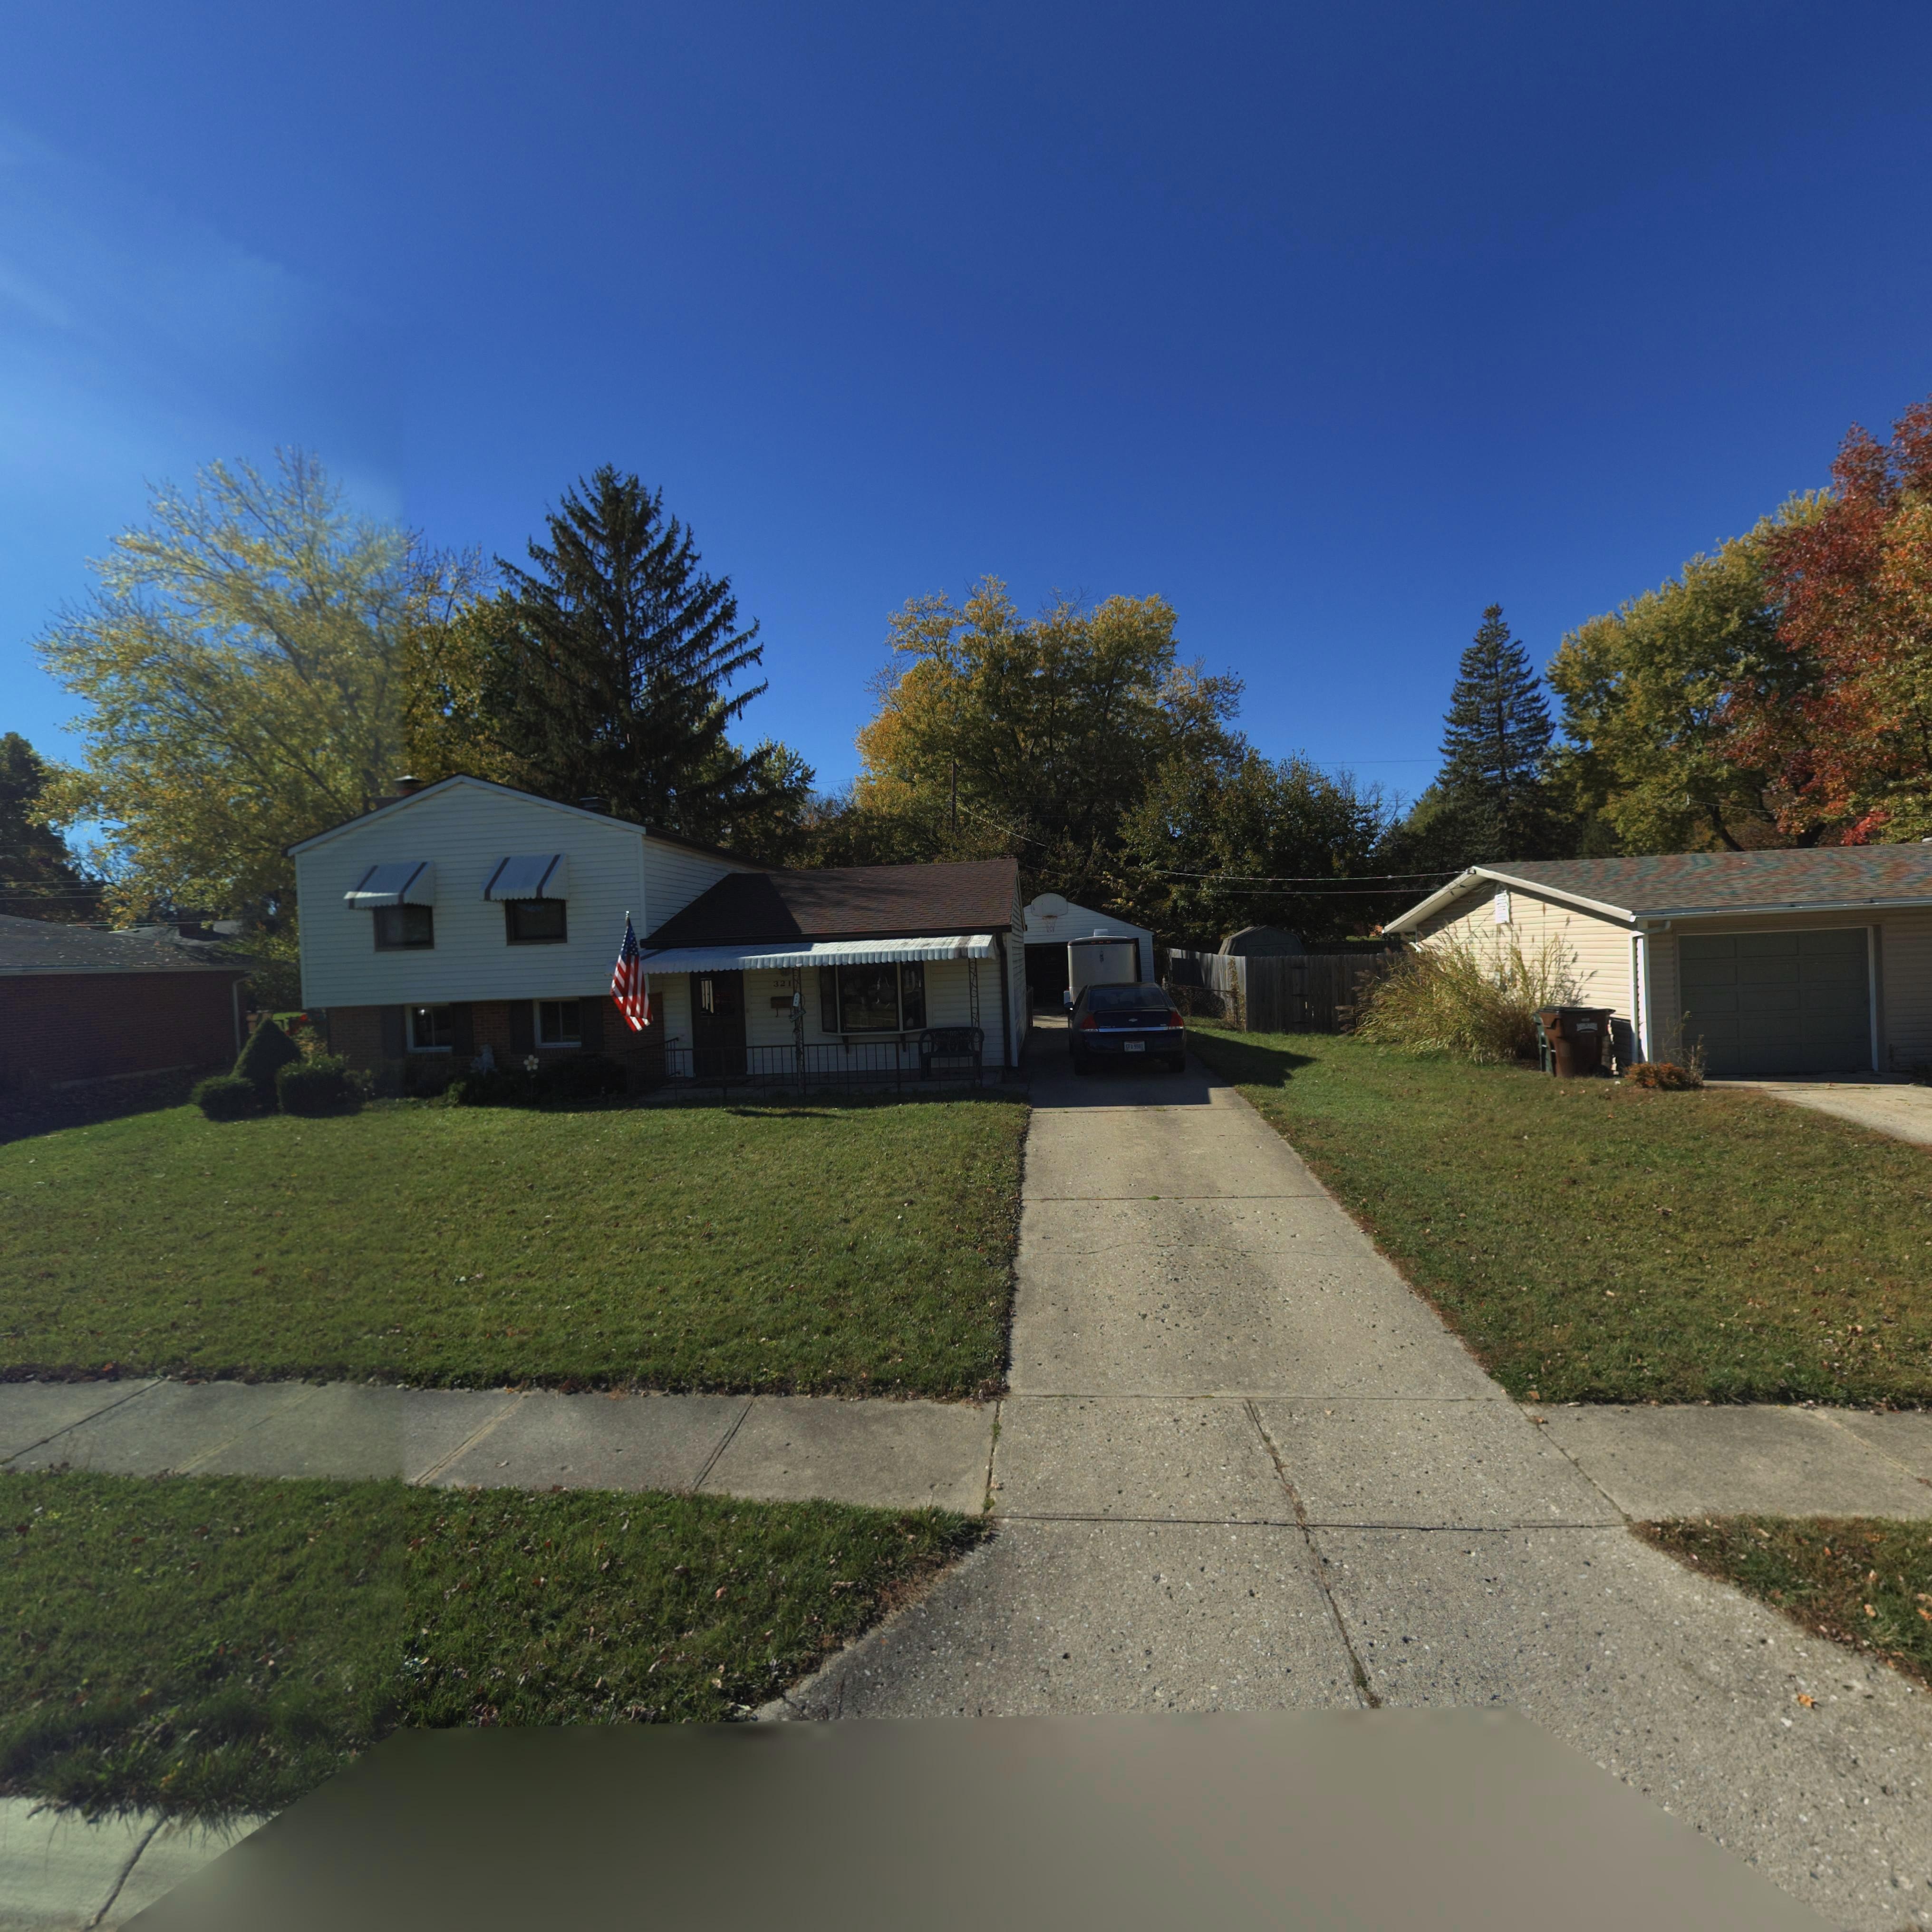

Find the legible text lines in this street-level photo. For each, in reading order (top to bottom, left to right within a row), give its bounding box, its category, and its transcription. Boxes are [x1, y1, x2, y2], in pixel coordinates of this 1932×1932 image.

[773, 979, 792, 988] StreetNumber: 321